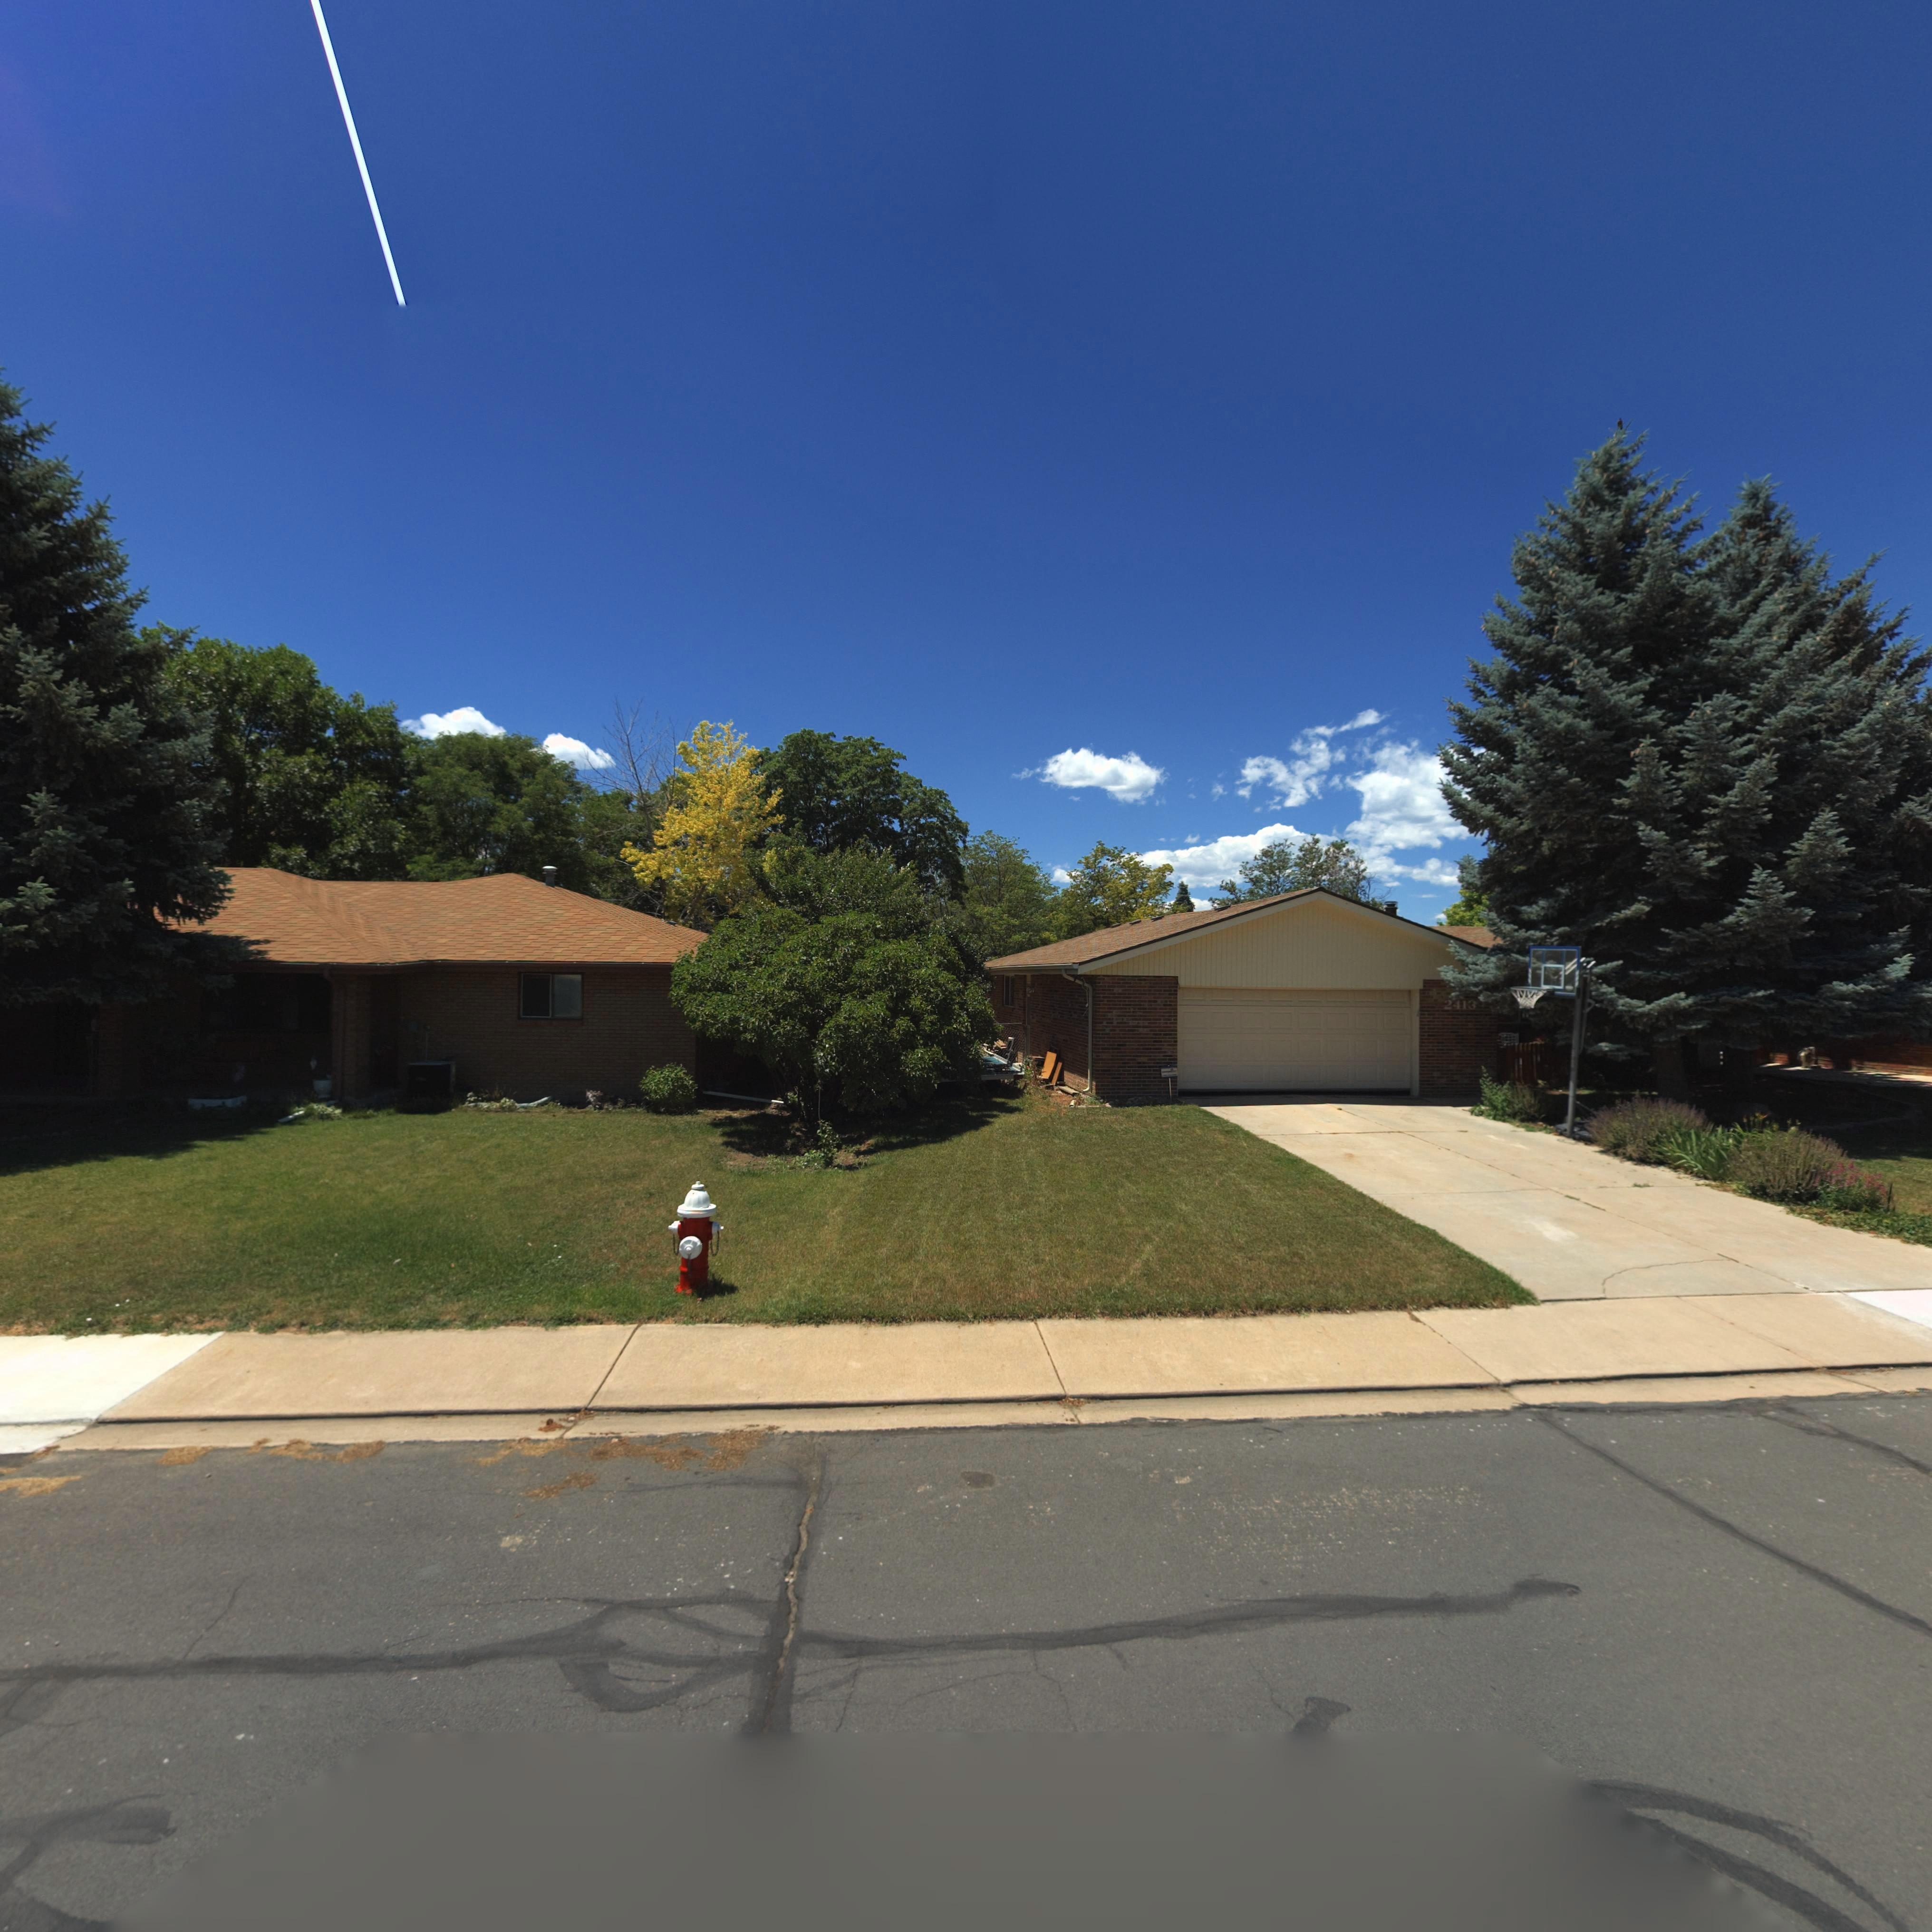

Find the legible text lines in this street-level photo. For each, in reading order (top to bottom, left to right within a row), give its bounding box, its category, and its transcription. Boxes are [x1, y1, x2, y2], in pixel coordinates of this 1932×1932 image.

[1443, 999, 1477, 1010] StreetNumber: 2413